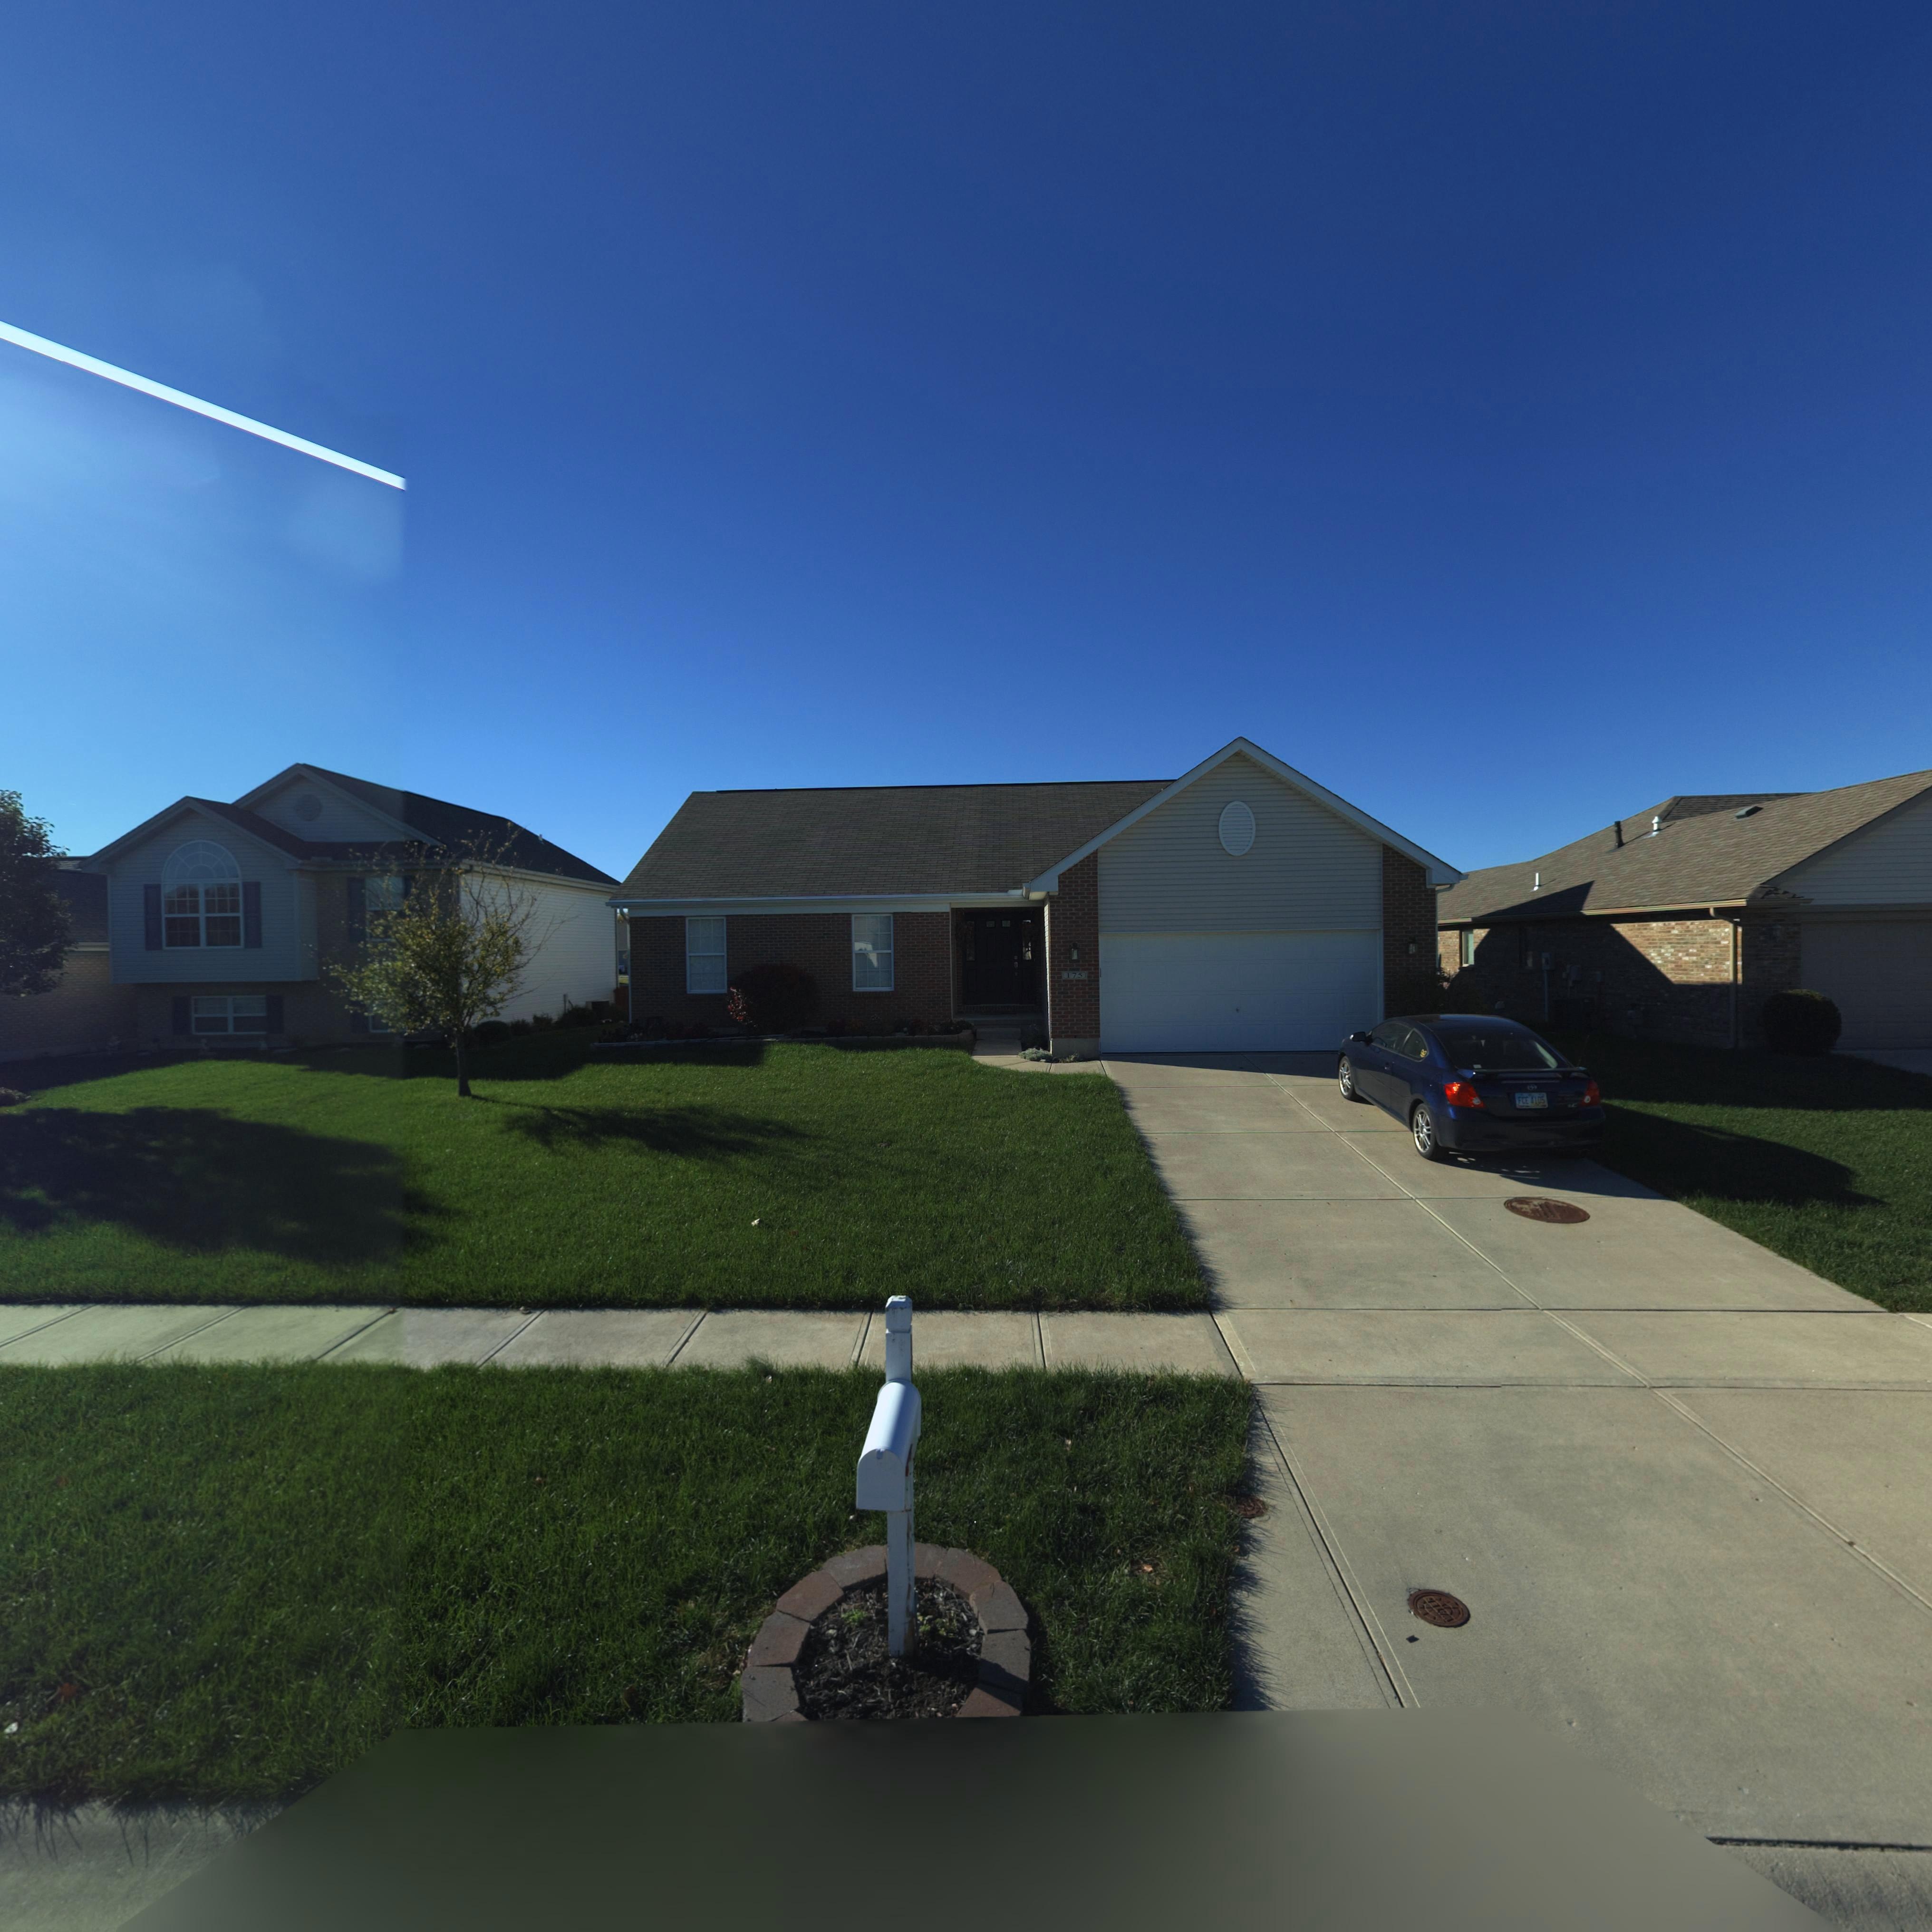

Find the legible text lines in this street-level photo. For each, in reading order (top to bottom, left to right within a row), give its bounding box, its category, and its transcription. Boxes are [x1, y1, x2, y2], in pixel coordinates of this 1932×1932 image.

[1067, 972, 1083, 978] StreetNumber: 175